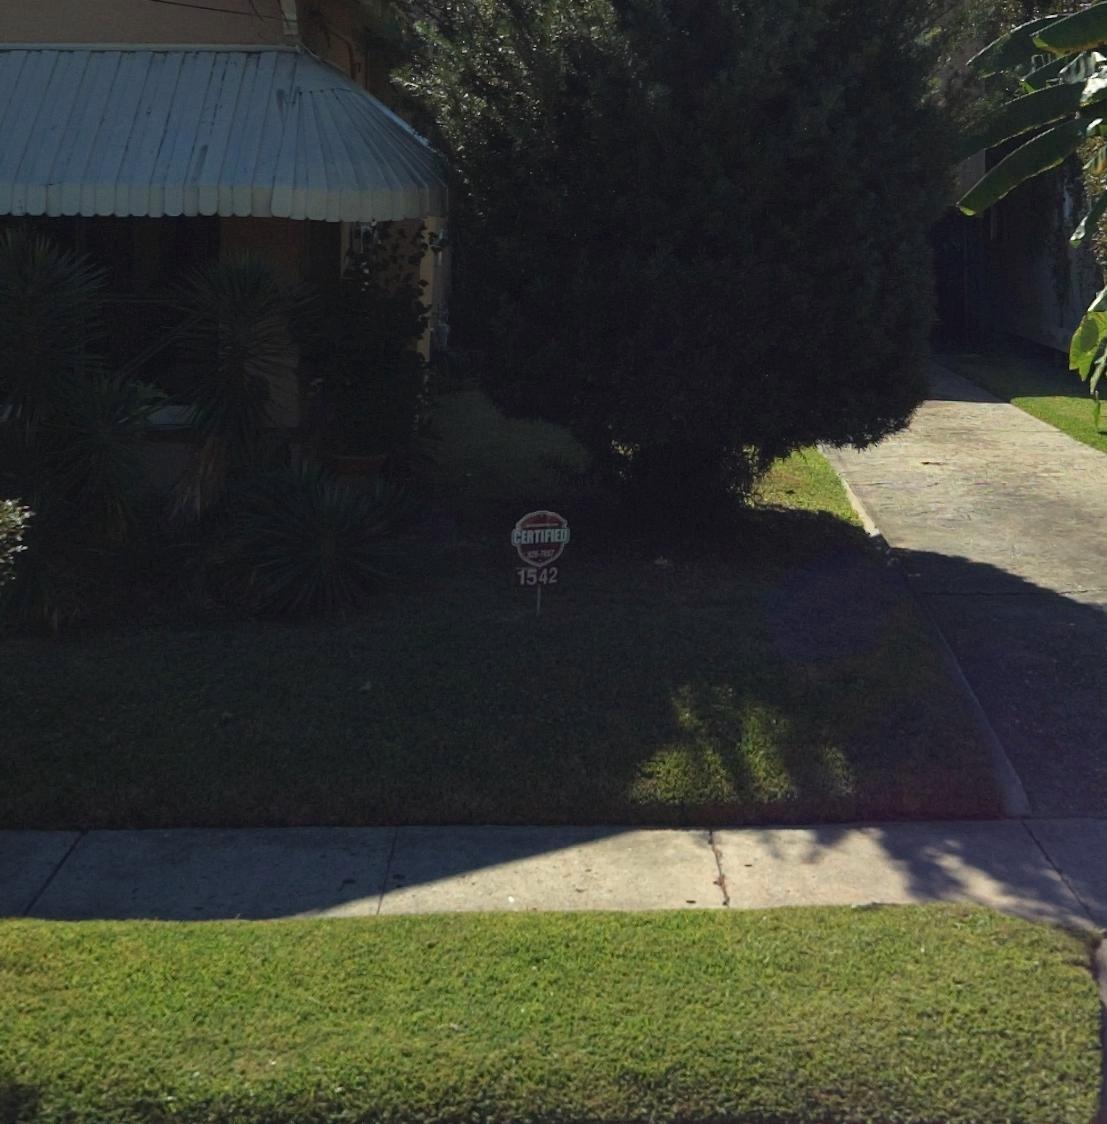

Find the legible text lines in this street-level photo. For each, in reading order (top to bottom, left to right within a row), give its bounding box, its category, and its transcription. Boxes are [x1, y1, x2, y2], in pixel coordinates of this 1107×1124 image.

[510, 526, 570, 547] None: CERTIFIED
[514, 564, 560, 588] StreetNumber: 1542